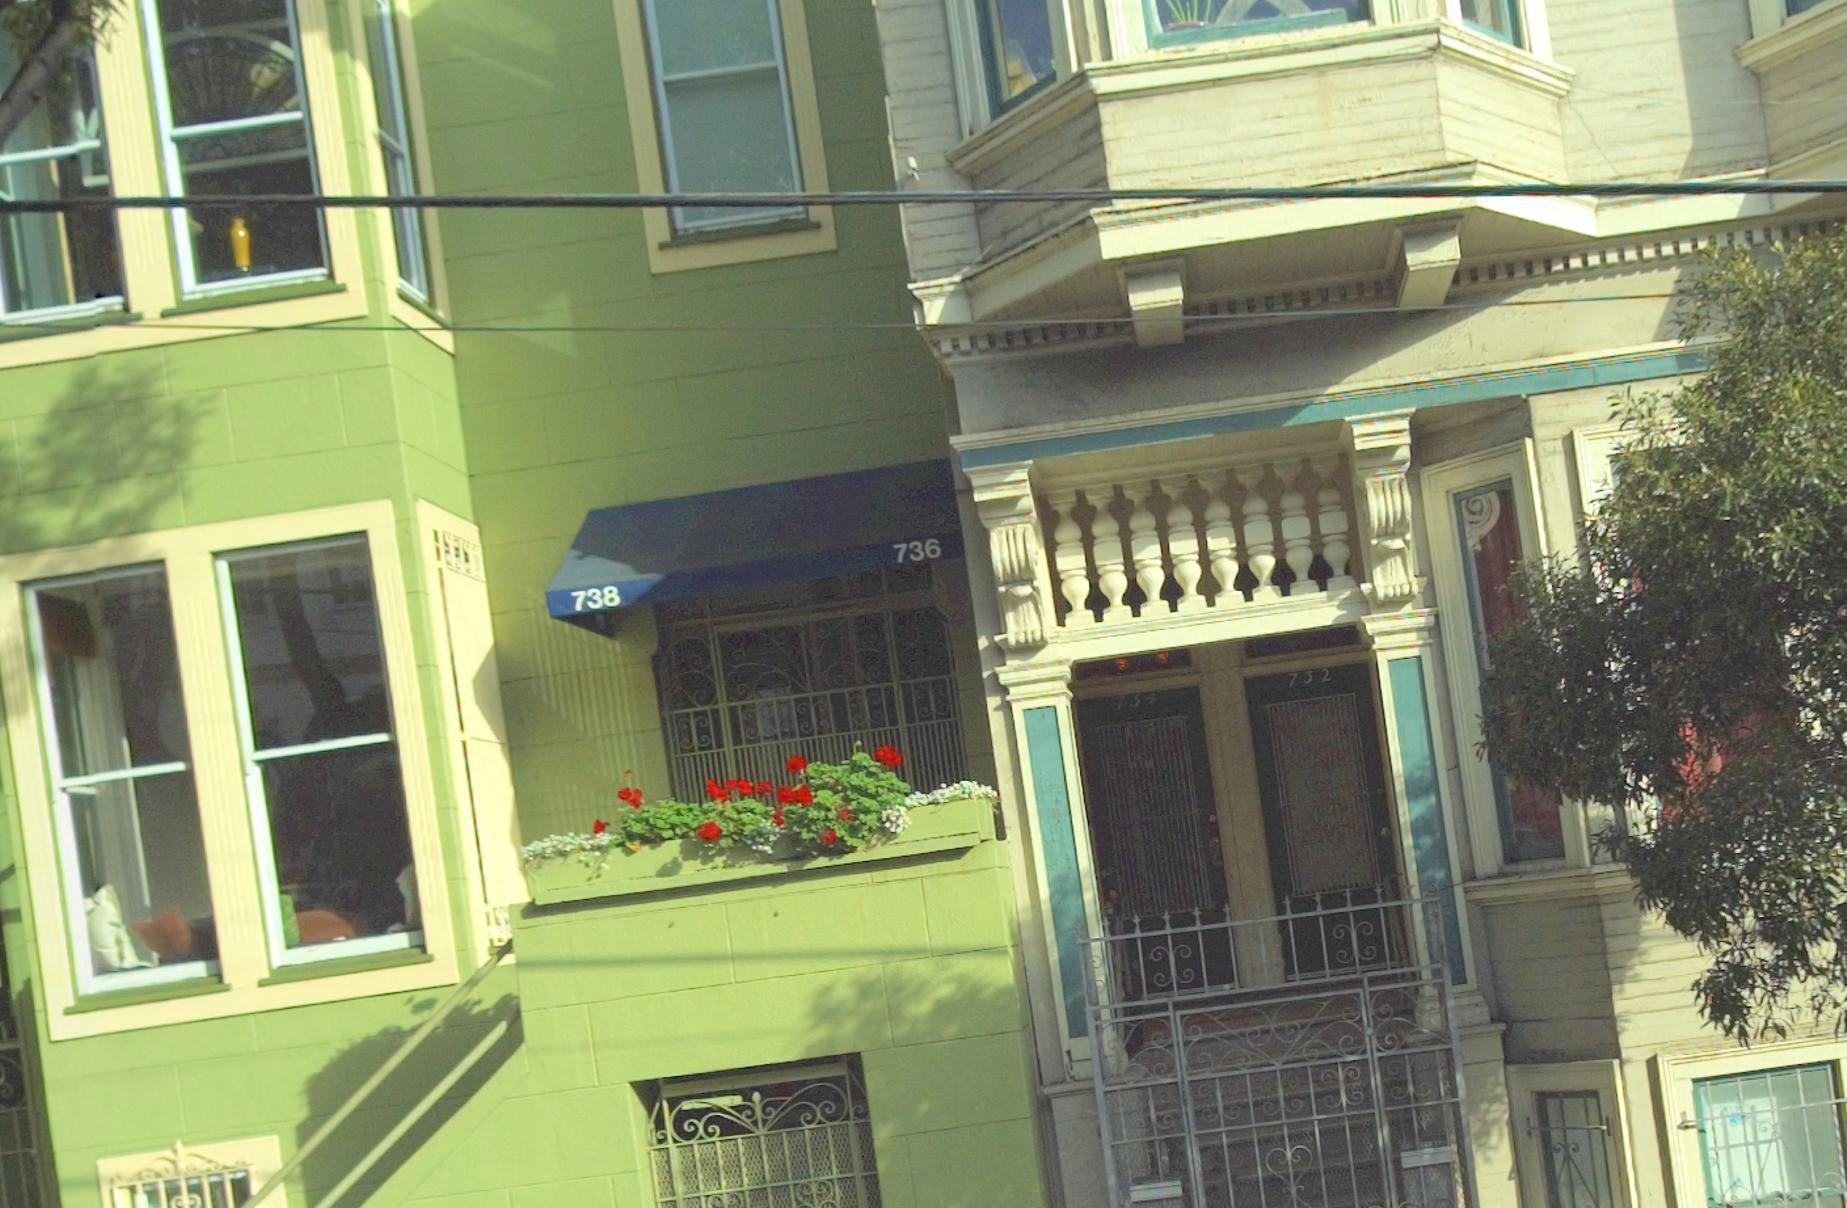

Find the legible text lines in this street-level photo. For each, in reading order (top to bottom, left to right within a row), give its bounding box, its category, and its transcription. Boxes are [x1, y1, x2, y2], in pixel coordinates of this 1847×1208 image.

[890, 535, 945, 566] StreetNumber: 736
[566, 581, 624, 615] StreetNumber: 738
[1285, 666, 1335, 692] StreetNumber: 732
[1112, 689, 1159, 715] StreetNumber: 7*4